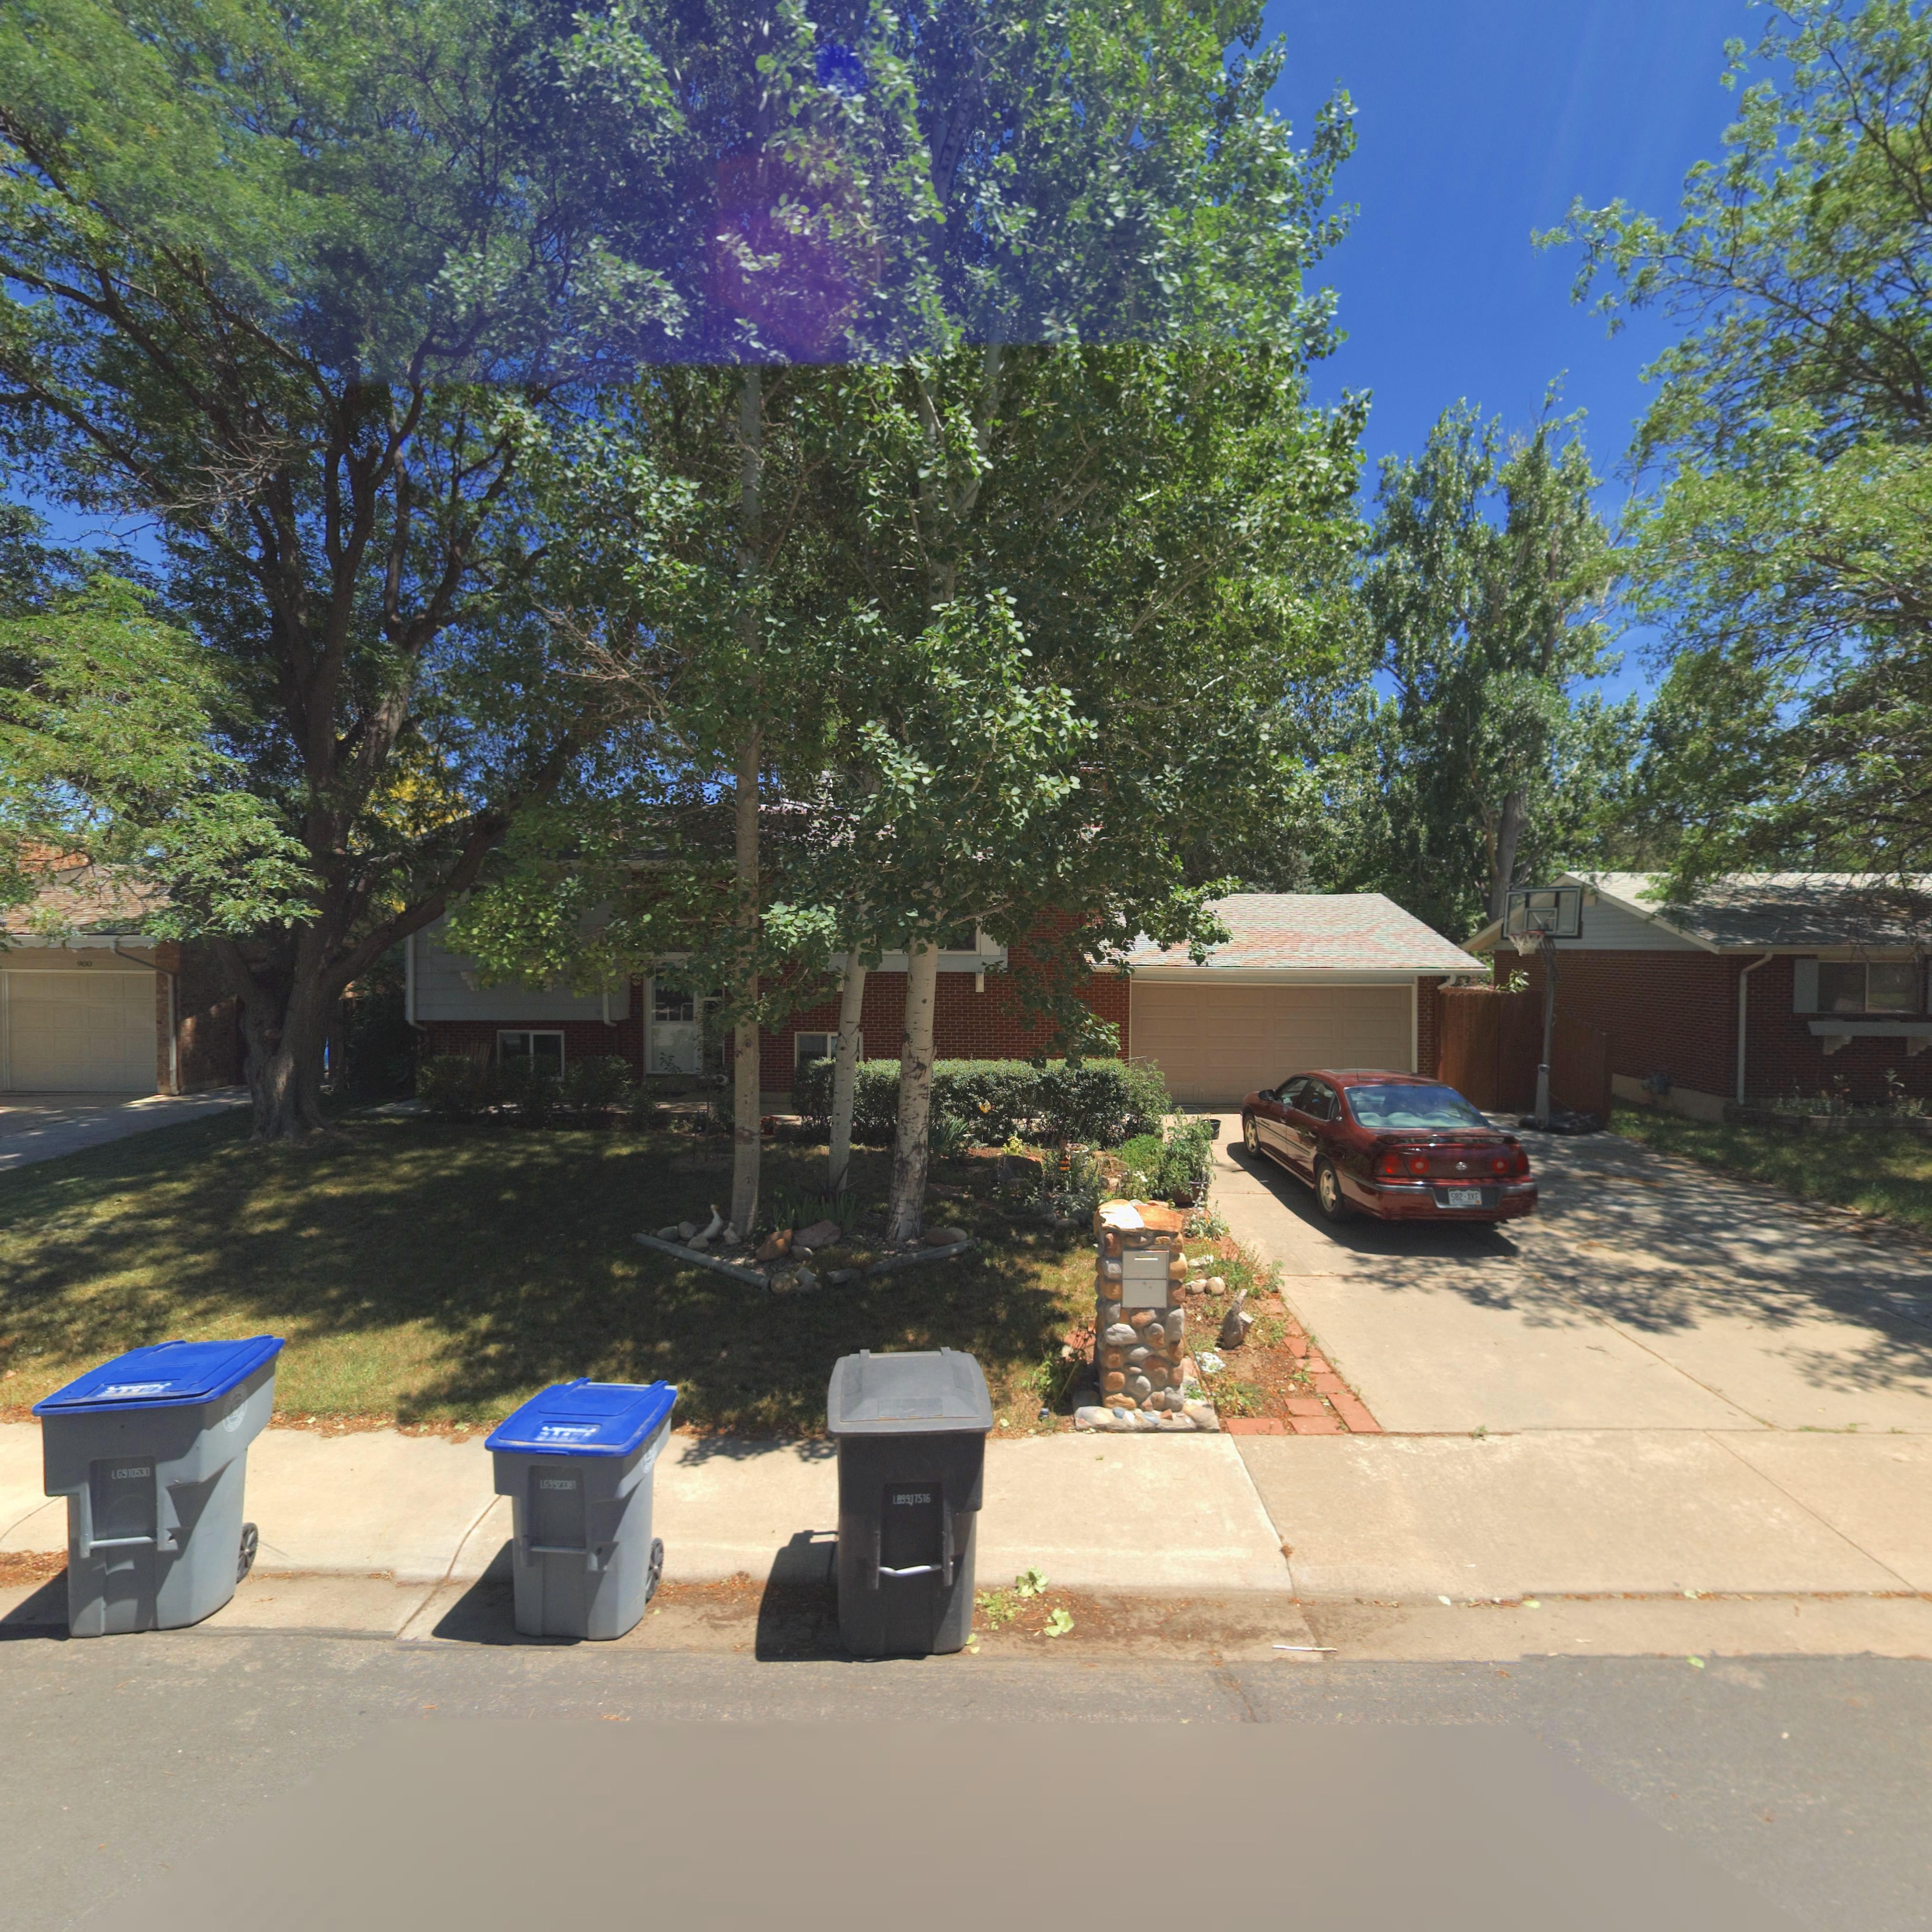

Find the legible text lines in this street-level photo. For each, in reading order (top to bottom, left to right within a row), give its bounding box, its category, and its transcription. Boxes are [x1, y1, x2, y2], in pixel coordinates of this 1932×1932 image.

[76, 960, 92, 967] StreetNumber: 900